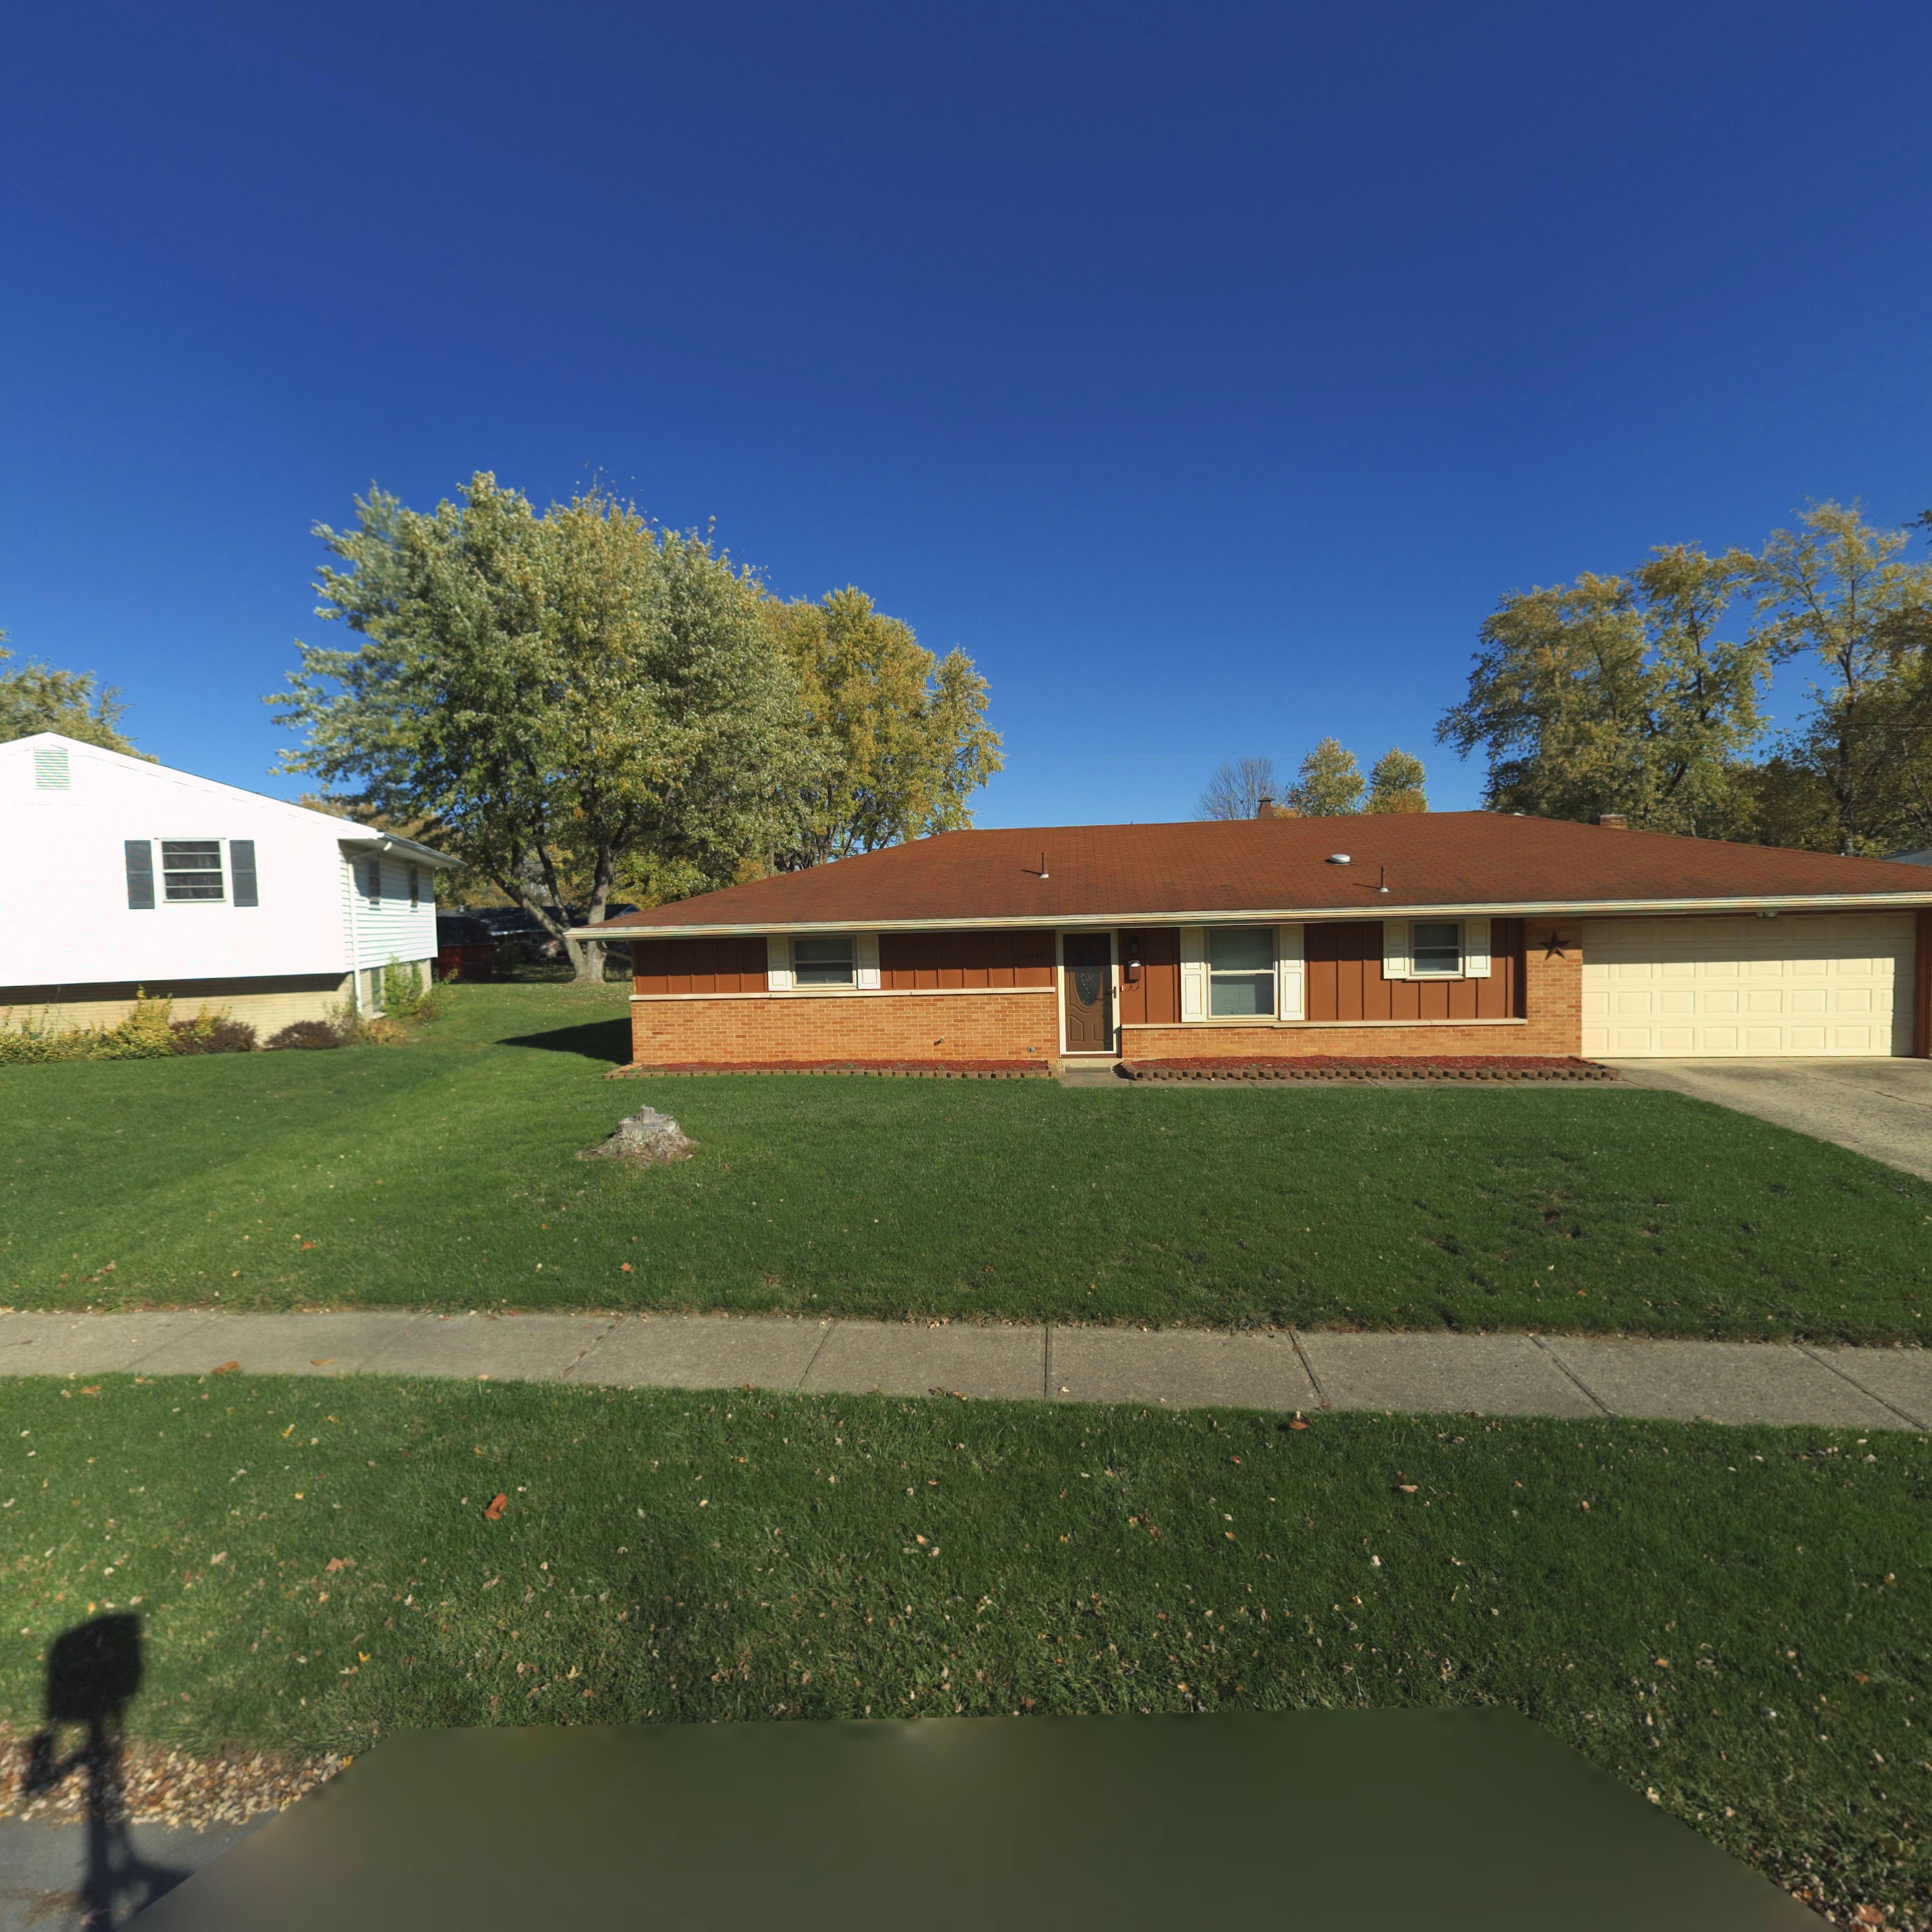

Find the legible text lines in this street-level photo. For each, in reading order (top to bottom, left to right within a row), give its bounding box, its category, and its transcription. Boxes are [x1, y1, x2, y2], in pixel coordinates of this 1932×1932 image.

[1023, 952, 1045, 959] StreetNumber: 6832